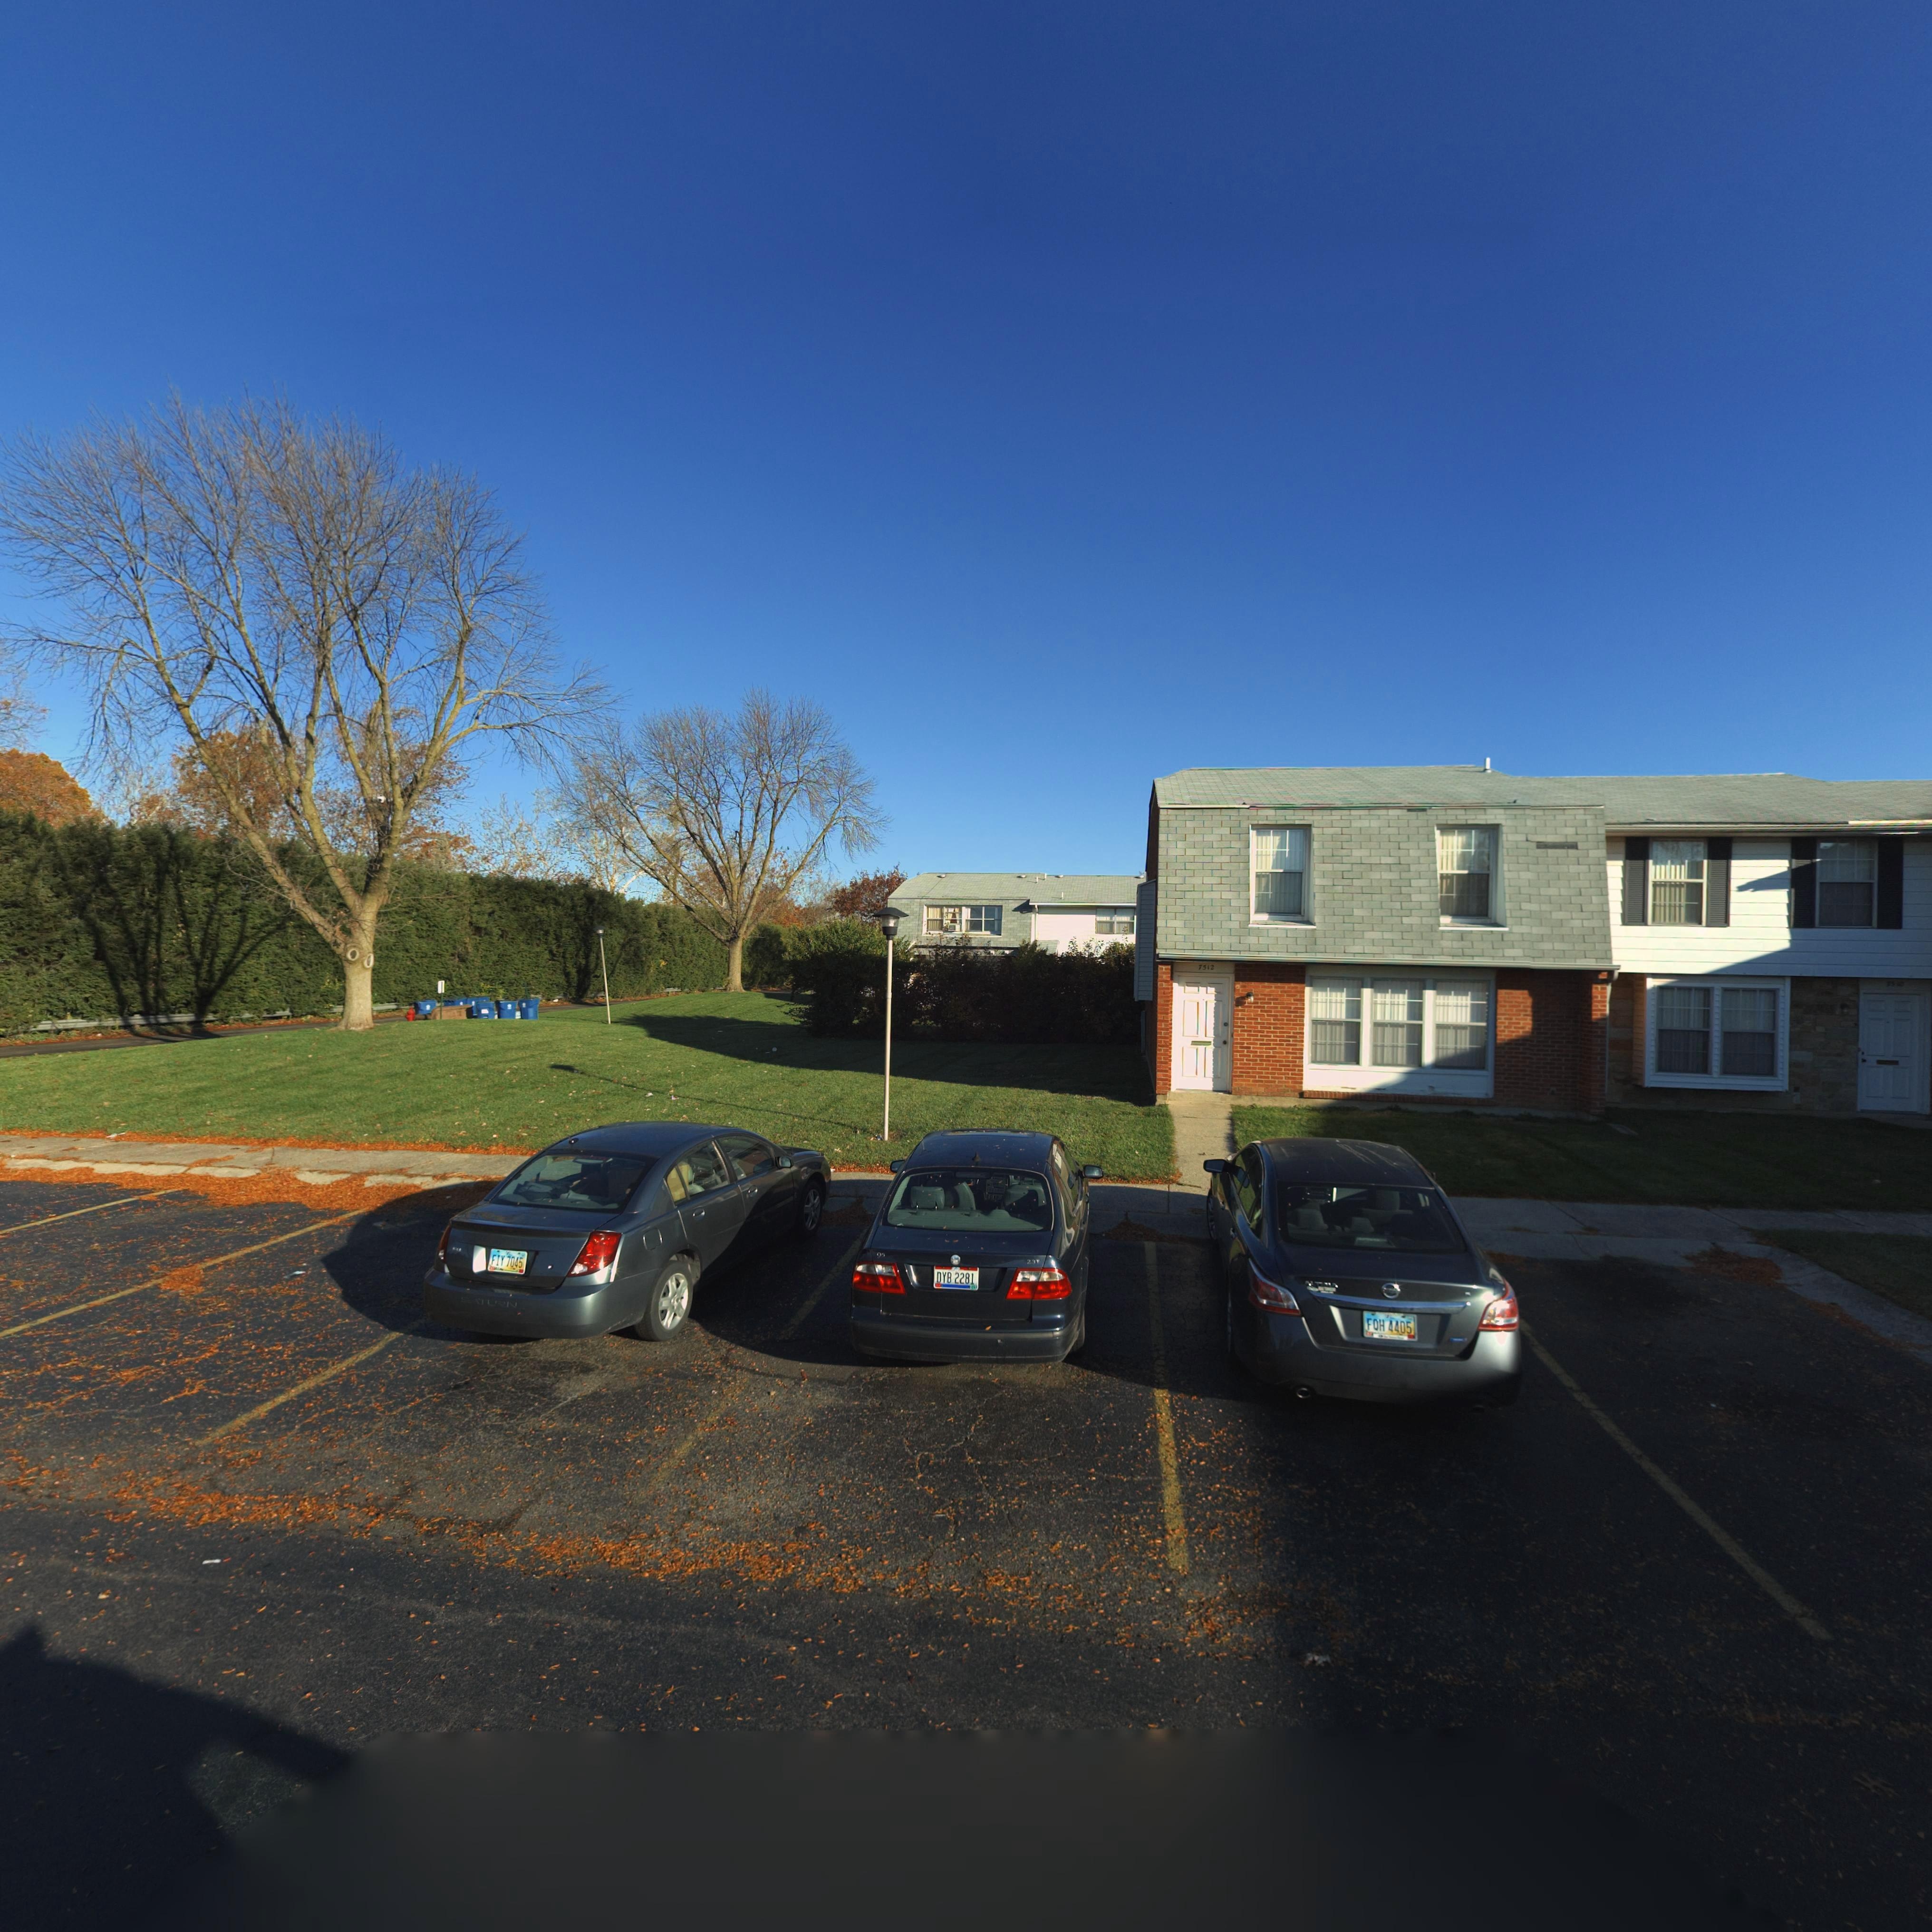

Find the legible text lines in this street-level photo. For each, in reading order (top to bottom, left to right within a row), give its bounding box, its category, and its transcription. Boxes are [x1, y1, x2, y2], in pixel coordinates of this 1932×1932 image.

[1197, 963, 1216, 972] StreetNumber: 7512